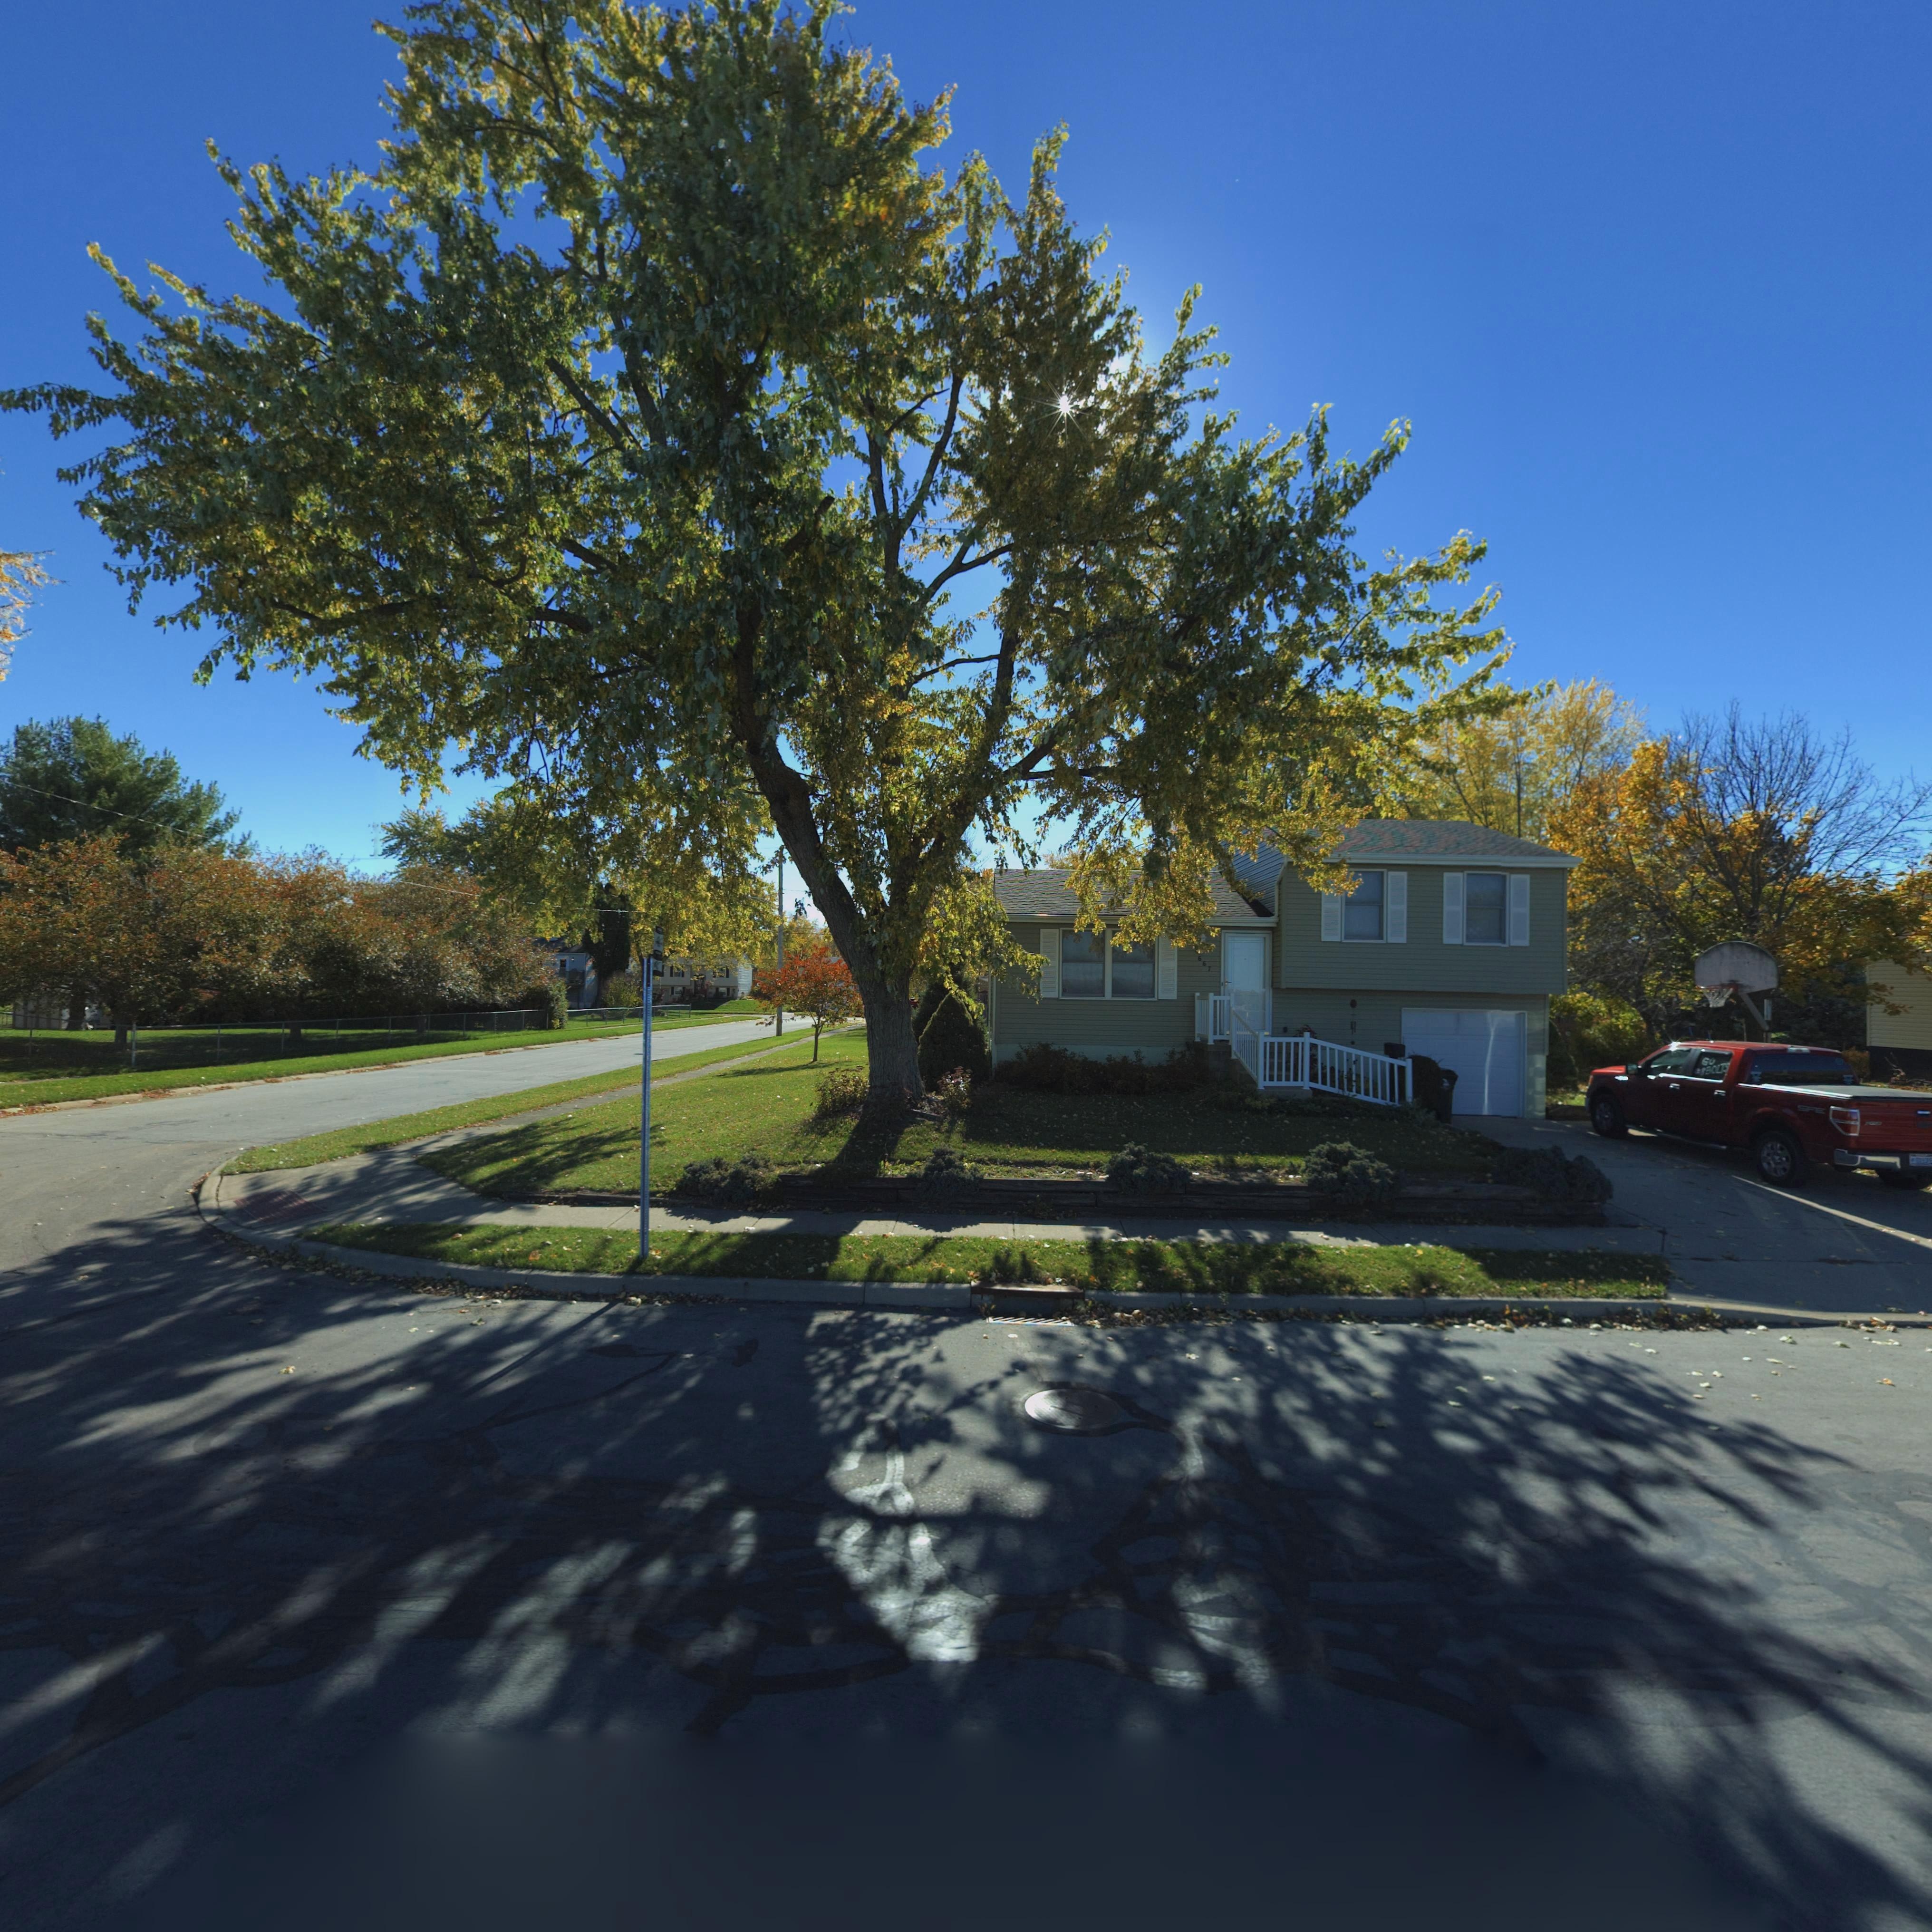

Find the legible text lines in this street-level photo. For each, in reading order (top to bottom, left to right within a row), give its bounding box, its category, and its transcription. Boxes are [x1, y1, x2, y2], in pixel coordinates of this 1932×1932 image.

[1198, 955, 1212, 972] StreetNumber: 667